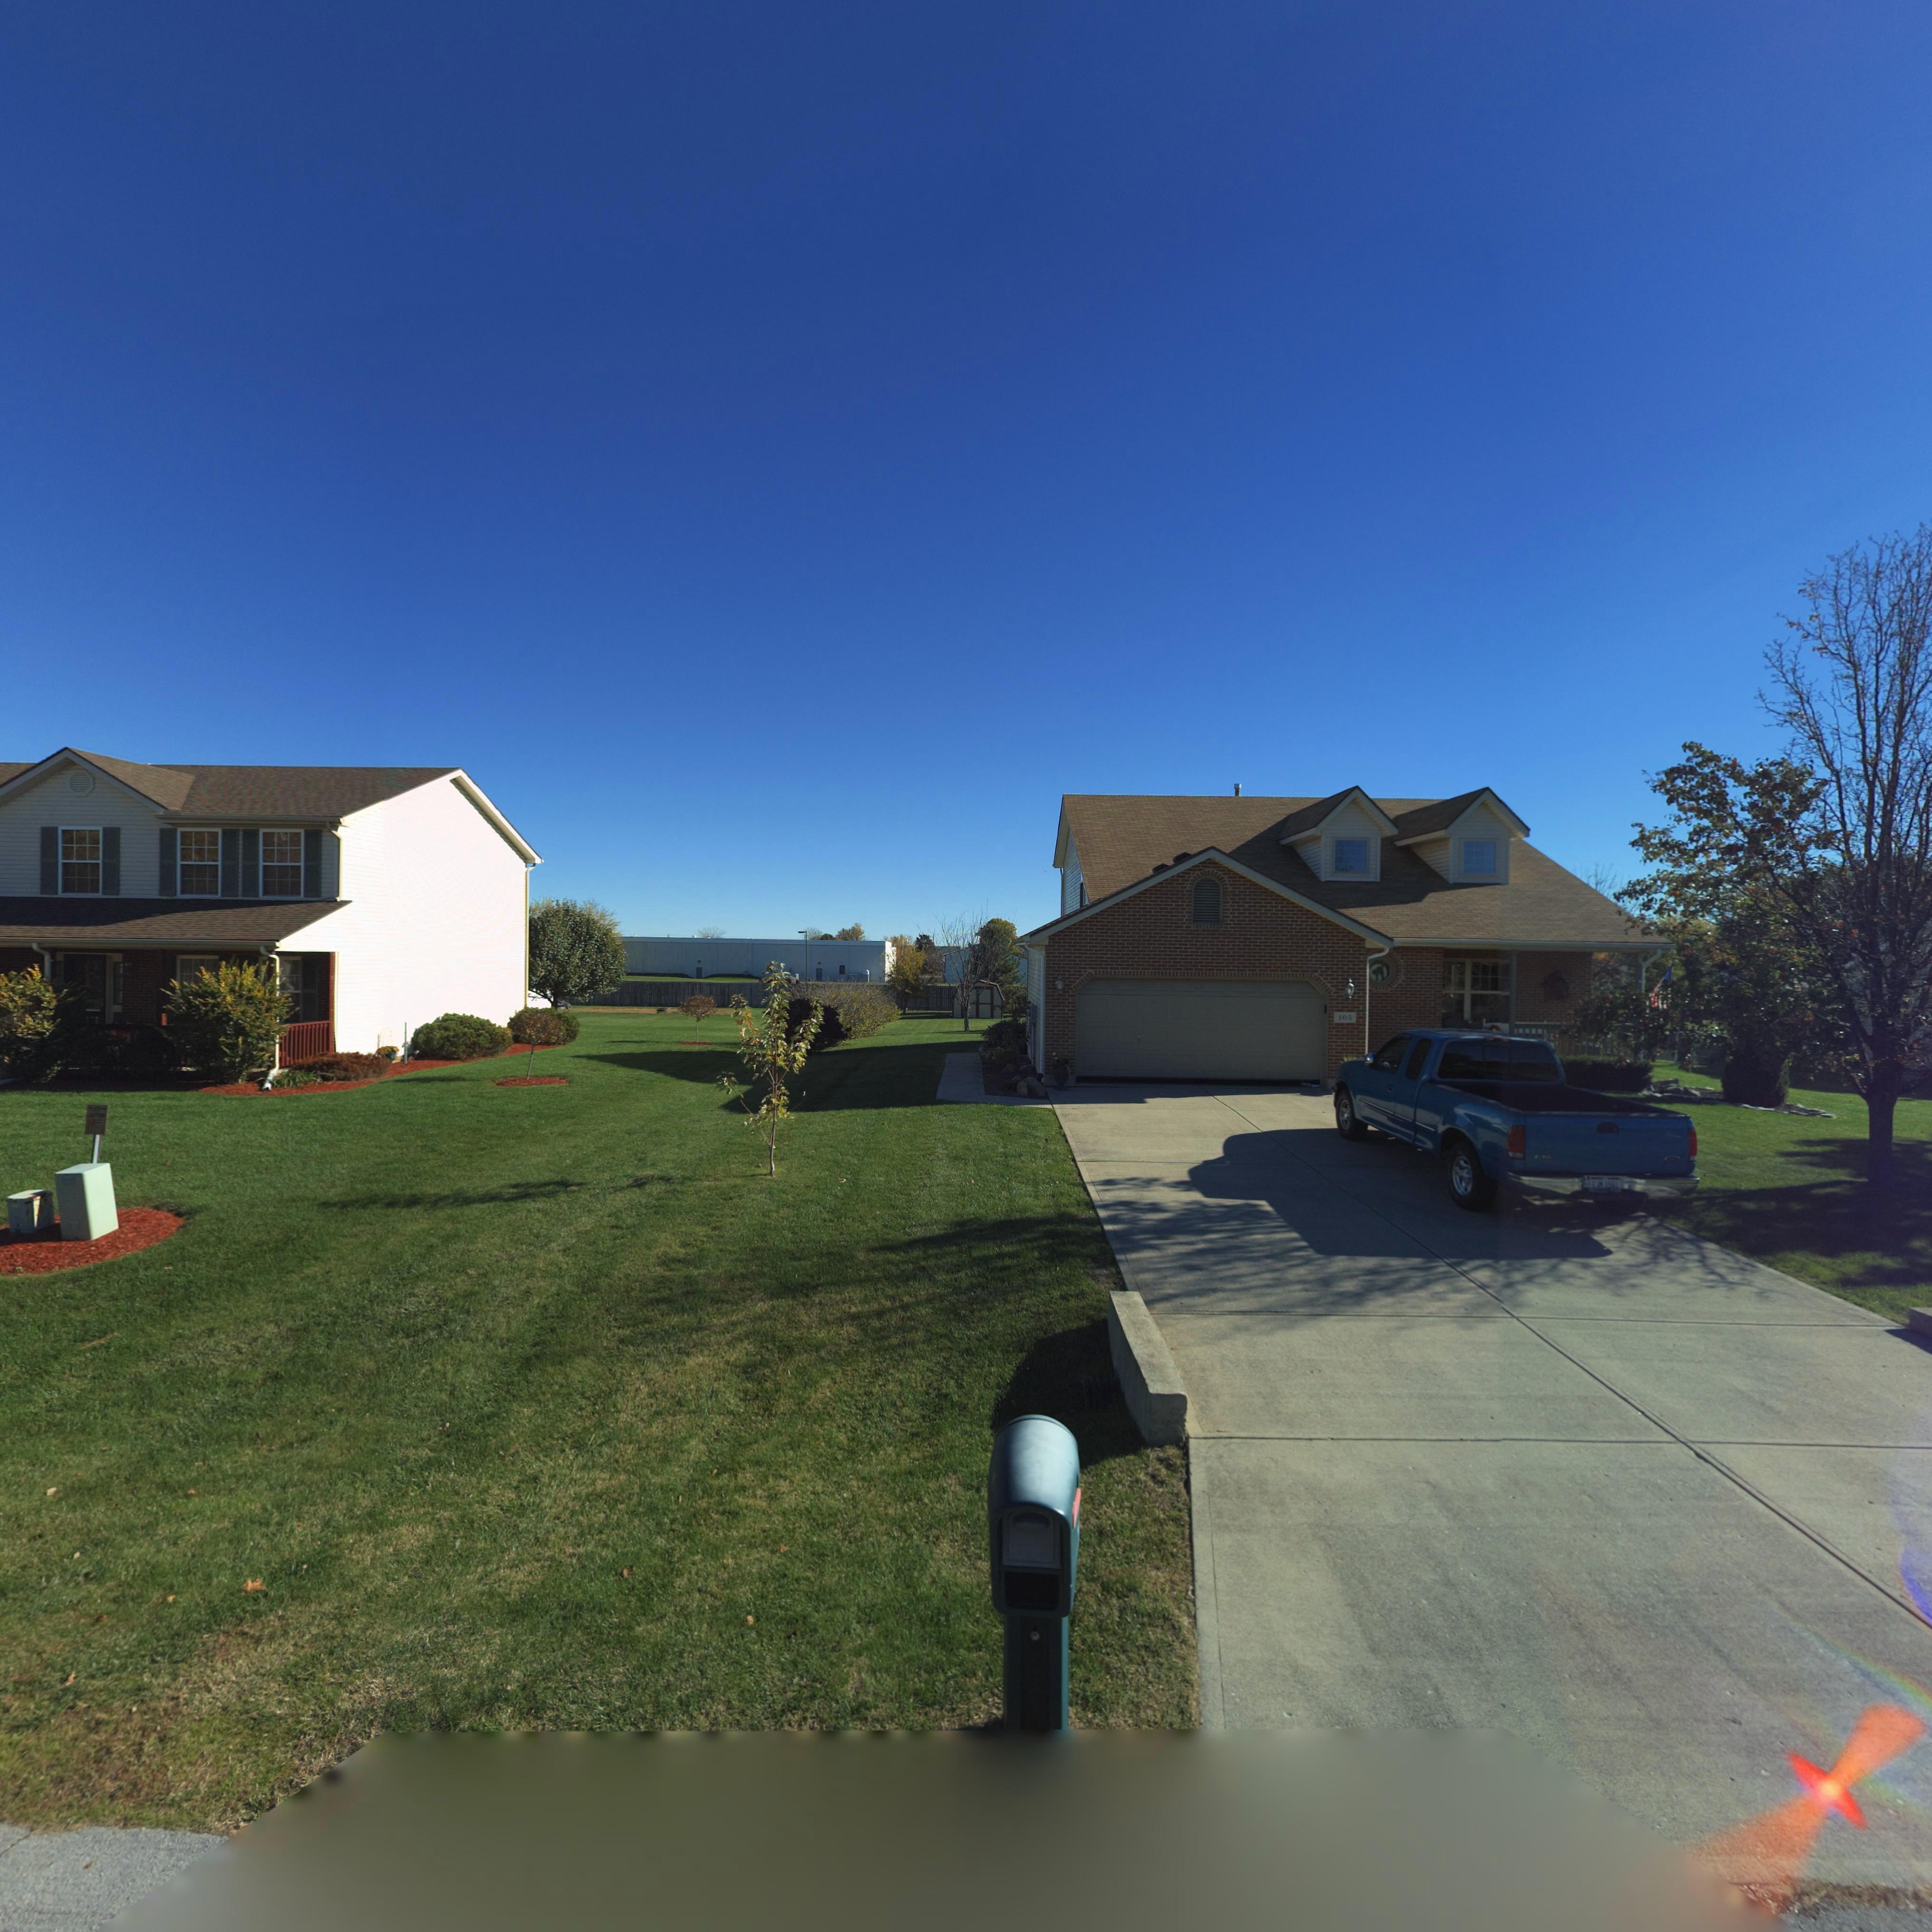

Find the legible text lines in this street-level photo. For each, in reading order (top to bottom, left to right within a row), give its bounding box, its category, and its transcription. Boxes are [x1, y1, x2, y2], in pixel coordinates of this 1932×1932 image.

[1337, 1014, 1353, 1021] StreetNumber: 105